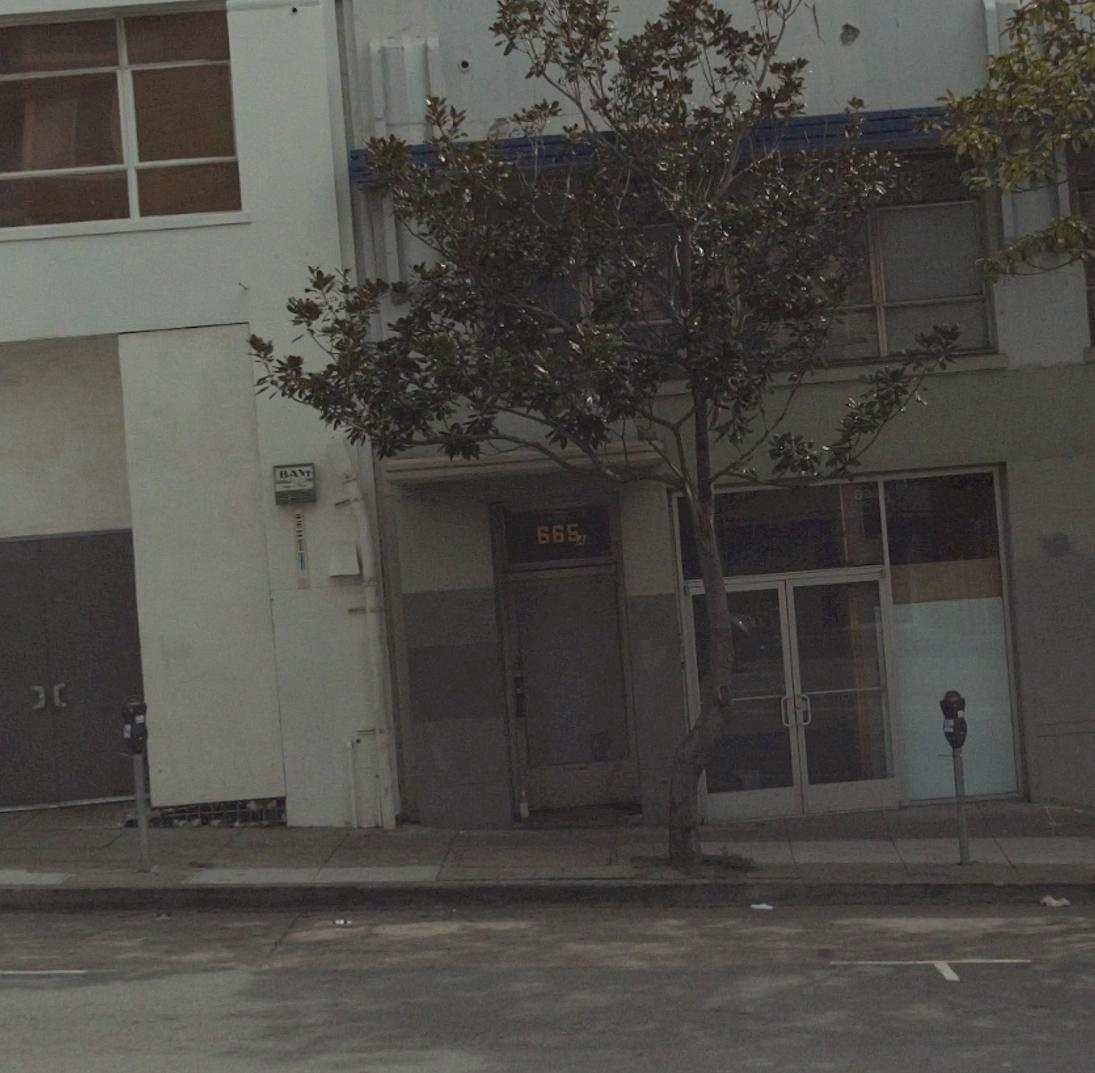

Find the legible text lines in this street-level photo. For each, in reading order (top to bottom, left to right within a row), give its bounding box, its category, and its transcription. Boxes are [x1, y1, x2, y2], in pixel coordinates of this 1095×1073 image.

[277, 466, 303, 481] None: BA
[534, 519, 588, 548] StreetNumber: 665A